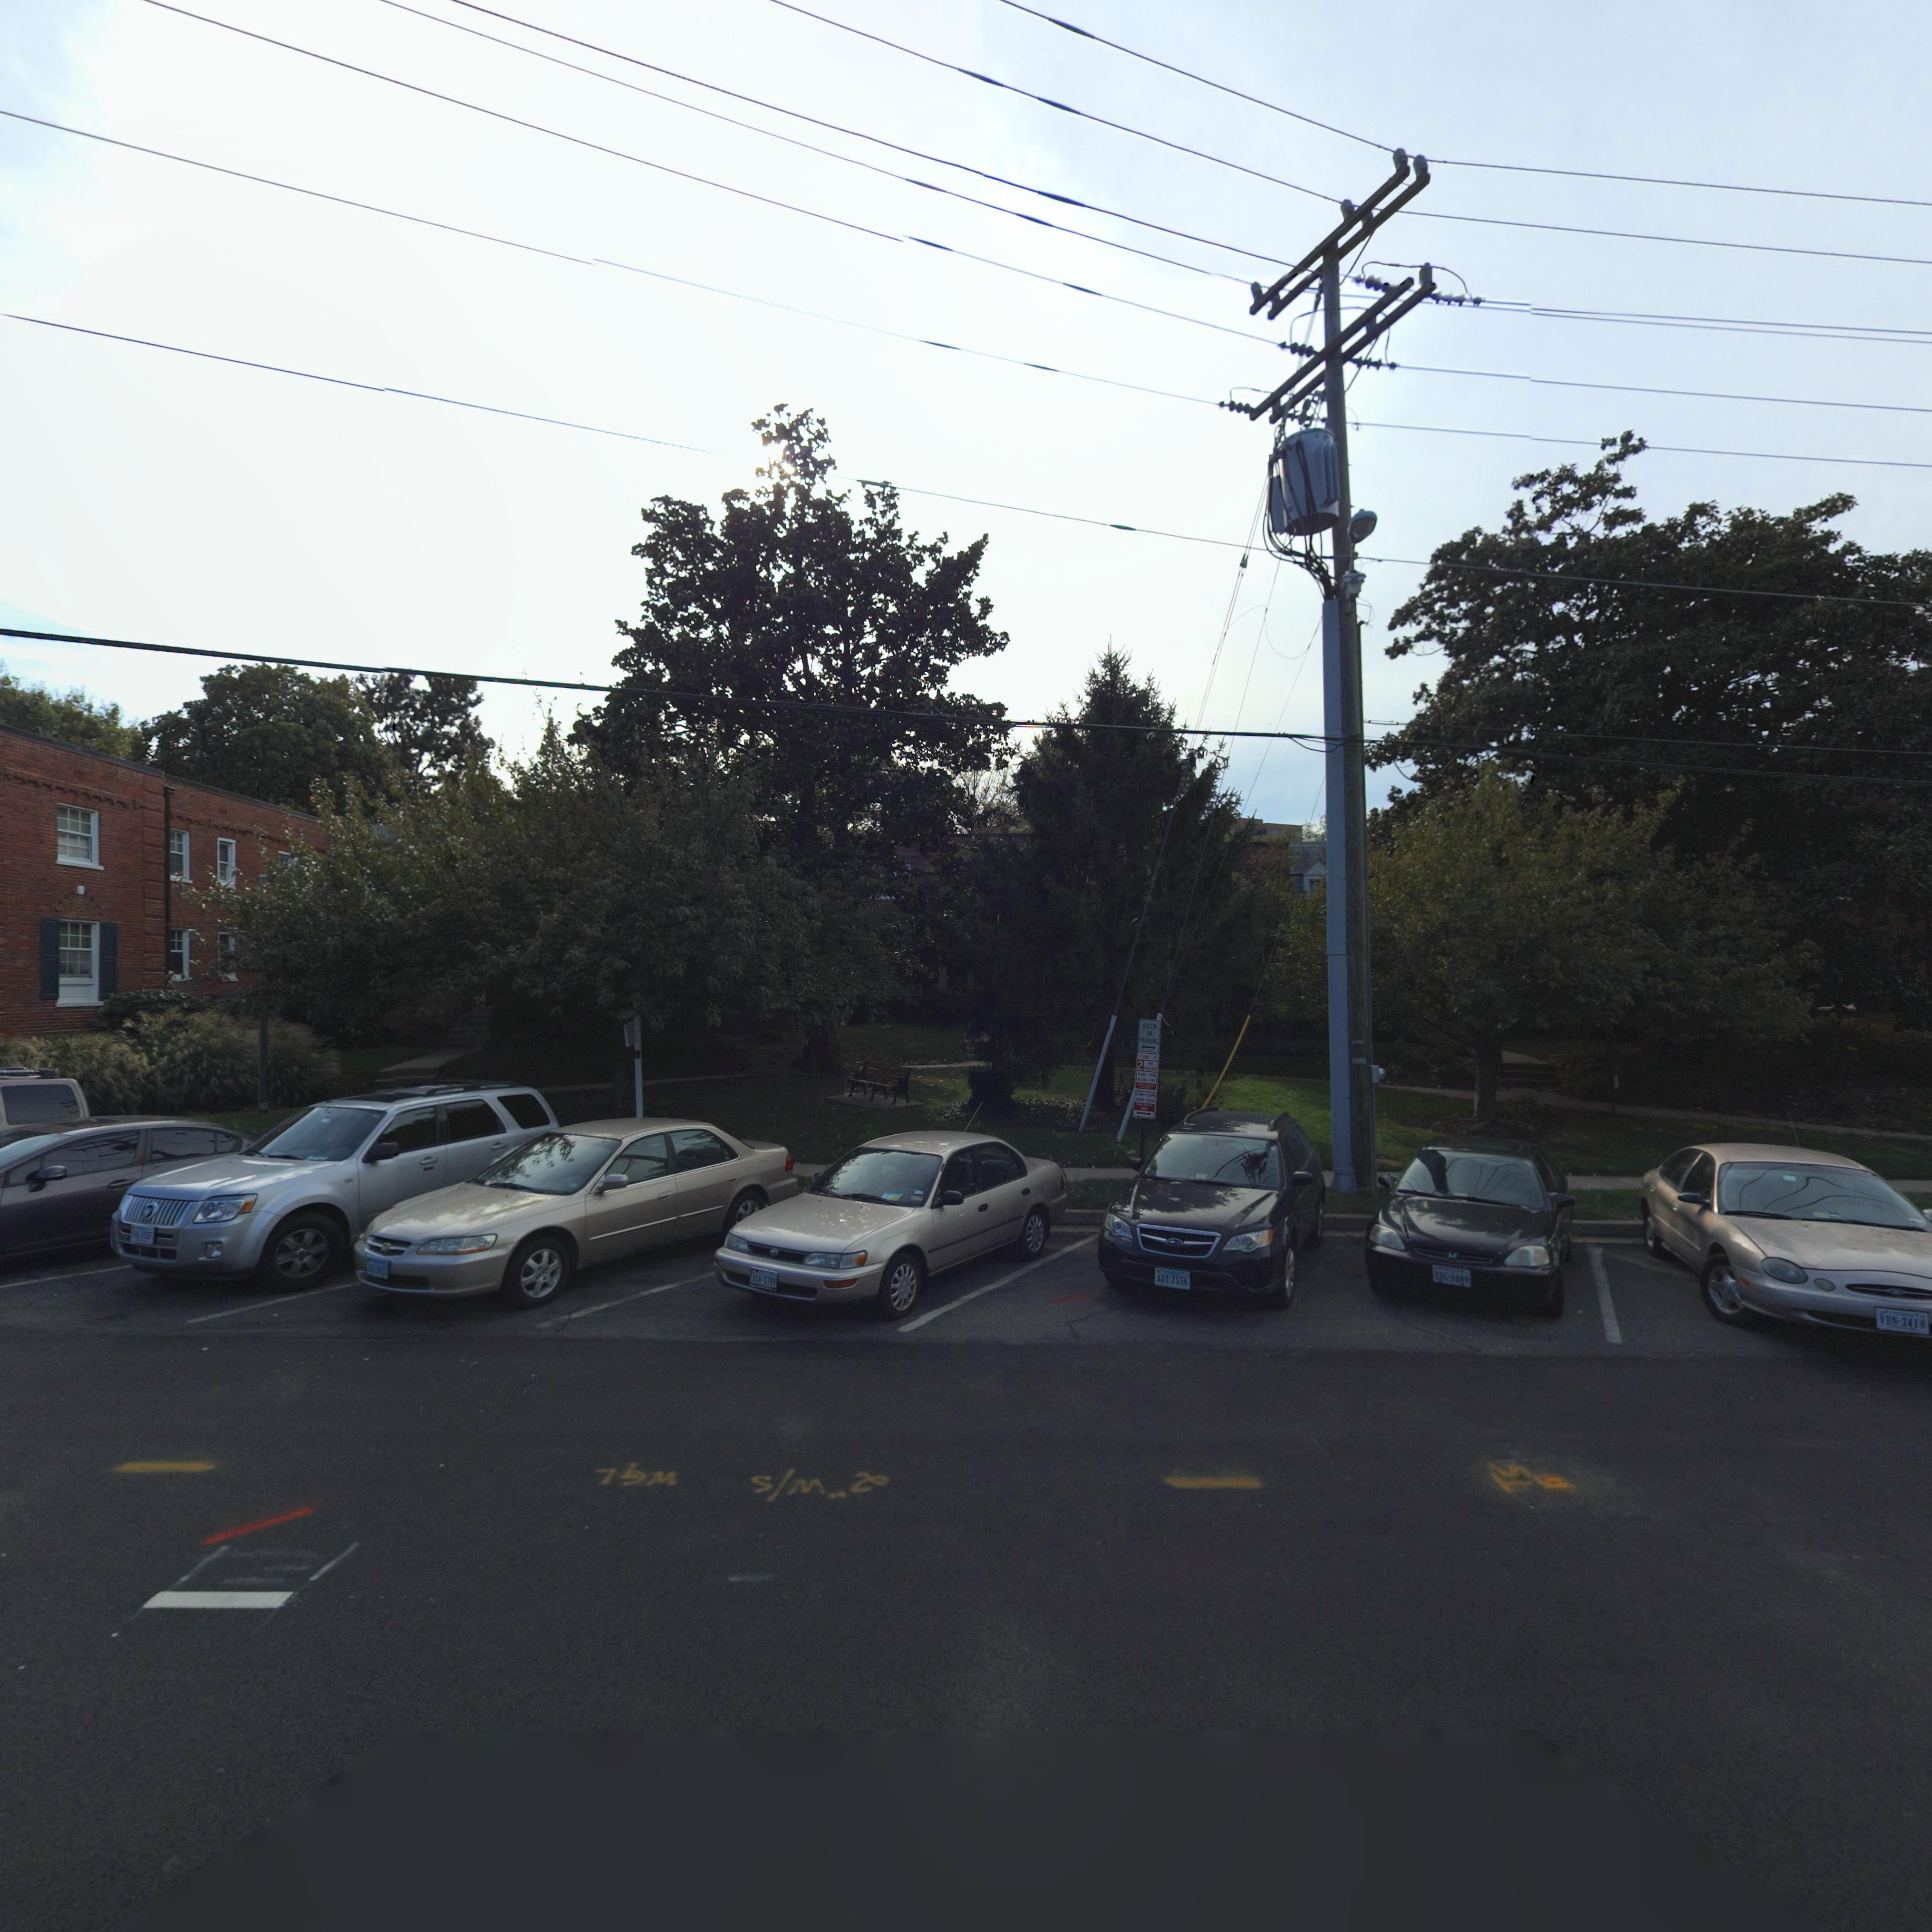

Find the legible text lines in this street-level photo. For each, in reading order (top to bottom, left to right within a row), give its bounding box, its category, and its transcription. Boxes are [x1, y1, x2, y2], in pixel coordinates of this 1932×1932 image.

[1142, 1022, 1157, 1030] None: BACK
[1146, 1030, 1152, 1037] None: IN
[1139, 1037, 1159, 1045] None: PARKING
[1139, 1053, 1157, 1060] None: ZONE 4
[1136, 1060, 1144, 1071] None: 2
[1137, 1071, 1156, 1078] None: 8AM-5PM
[1137, 1077, 1155, 1083] None: MON-FRI
[1135, 1091, 1156, 1098] None: 5PM-12AM
[1135, 1097, 1154, 1103] None: MON-SUN
[140, 1230, 153, 1240] None: 7557
[375, 1264, 387, 1276] None: 9632
[752, 1273, 776, 1287] None: ****6799
[1156, 1274, 1188, 1285] None: ADT*7556
[1434, 1270, 1469, 1285] None: YZG*1689
[1879, 1314, 1926, 1329] None: VBN*2418
[1484, 1459, 1533, 1495] None: T3